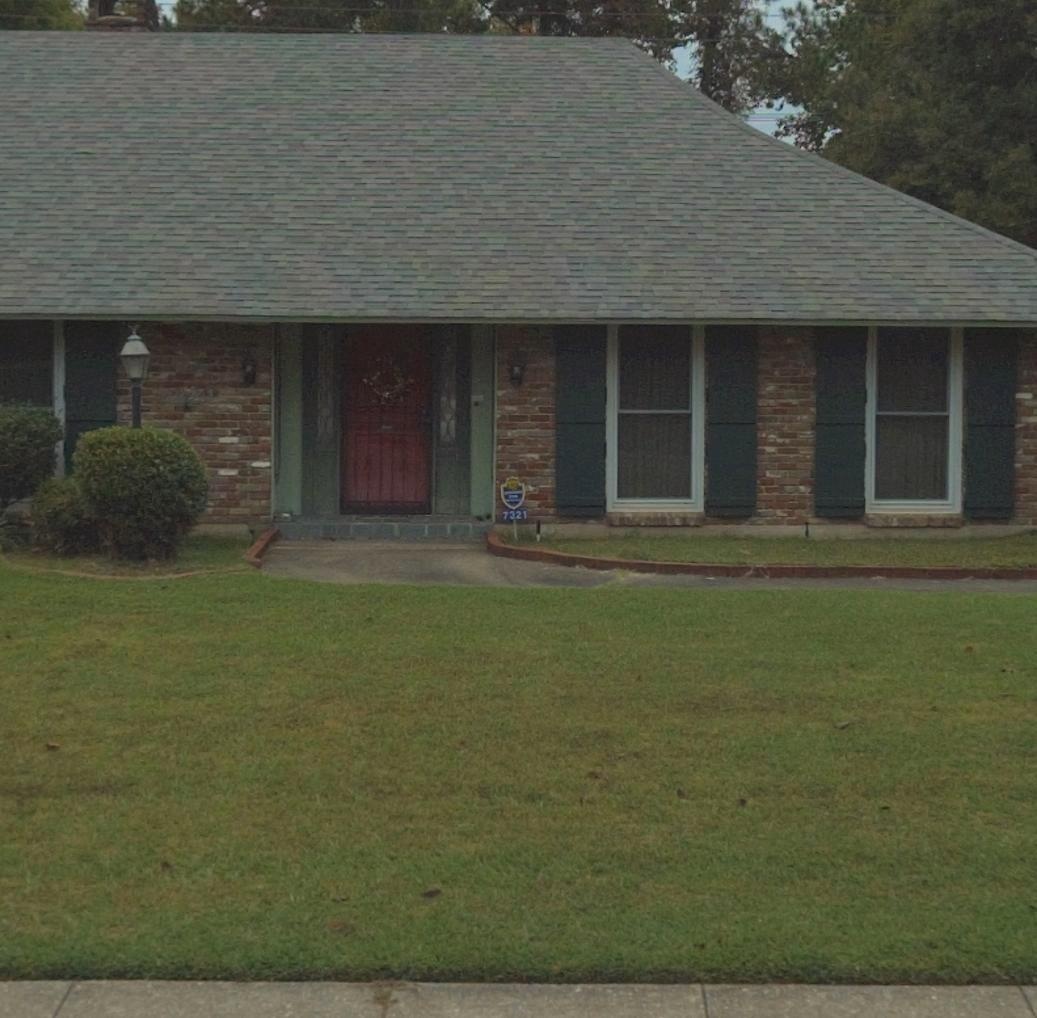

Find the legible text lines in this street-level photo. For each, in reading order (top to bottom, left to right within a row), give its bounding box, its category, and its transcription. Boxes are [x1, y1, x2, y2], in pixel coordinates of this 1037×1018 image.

[503, 510, 528, 520] StreetNumber: 7321